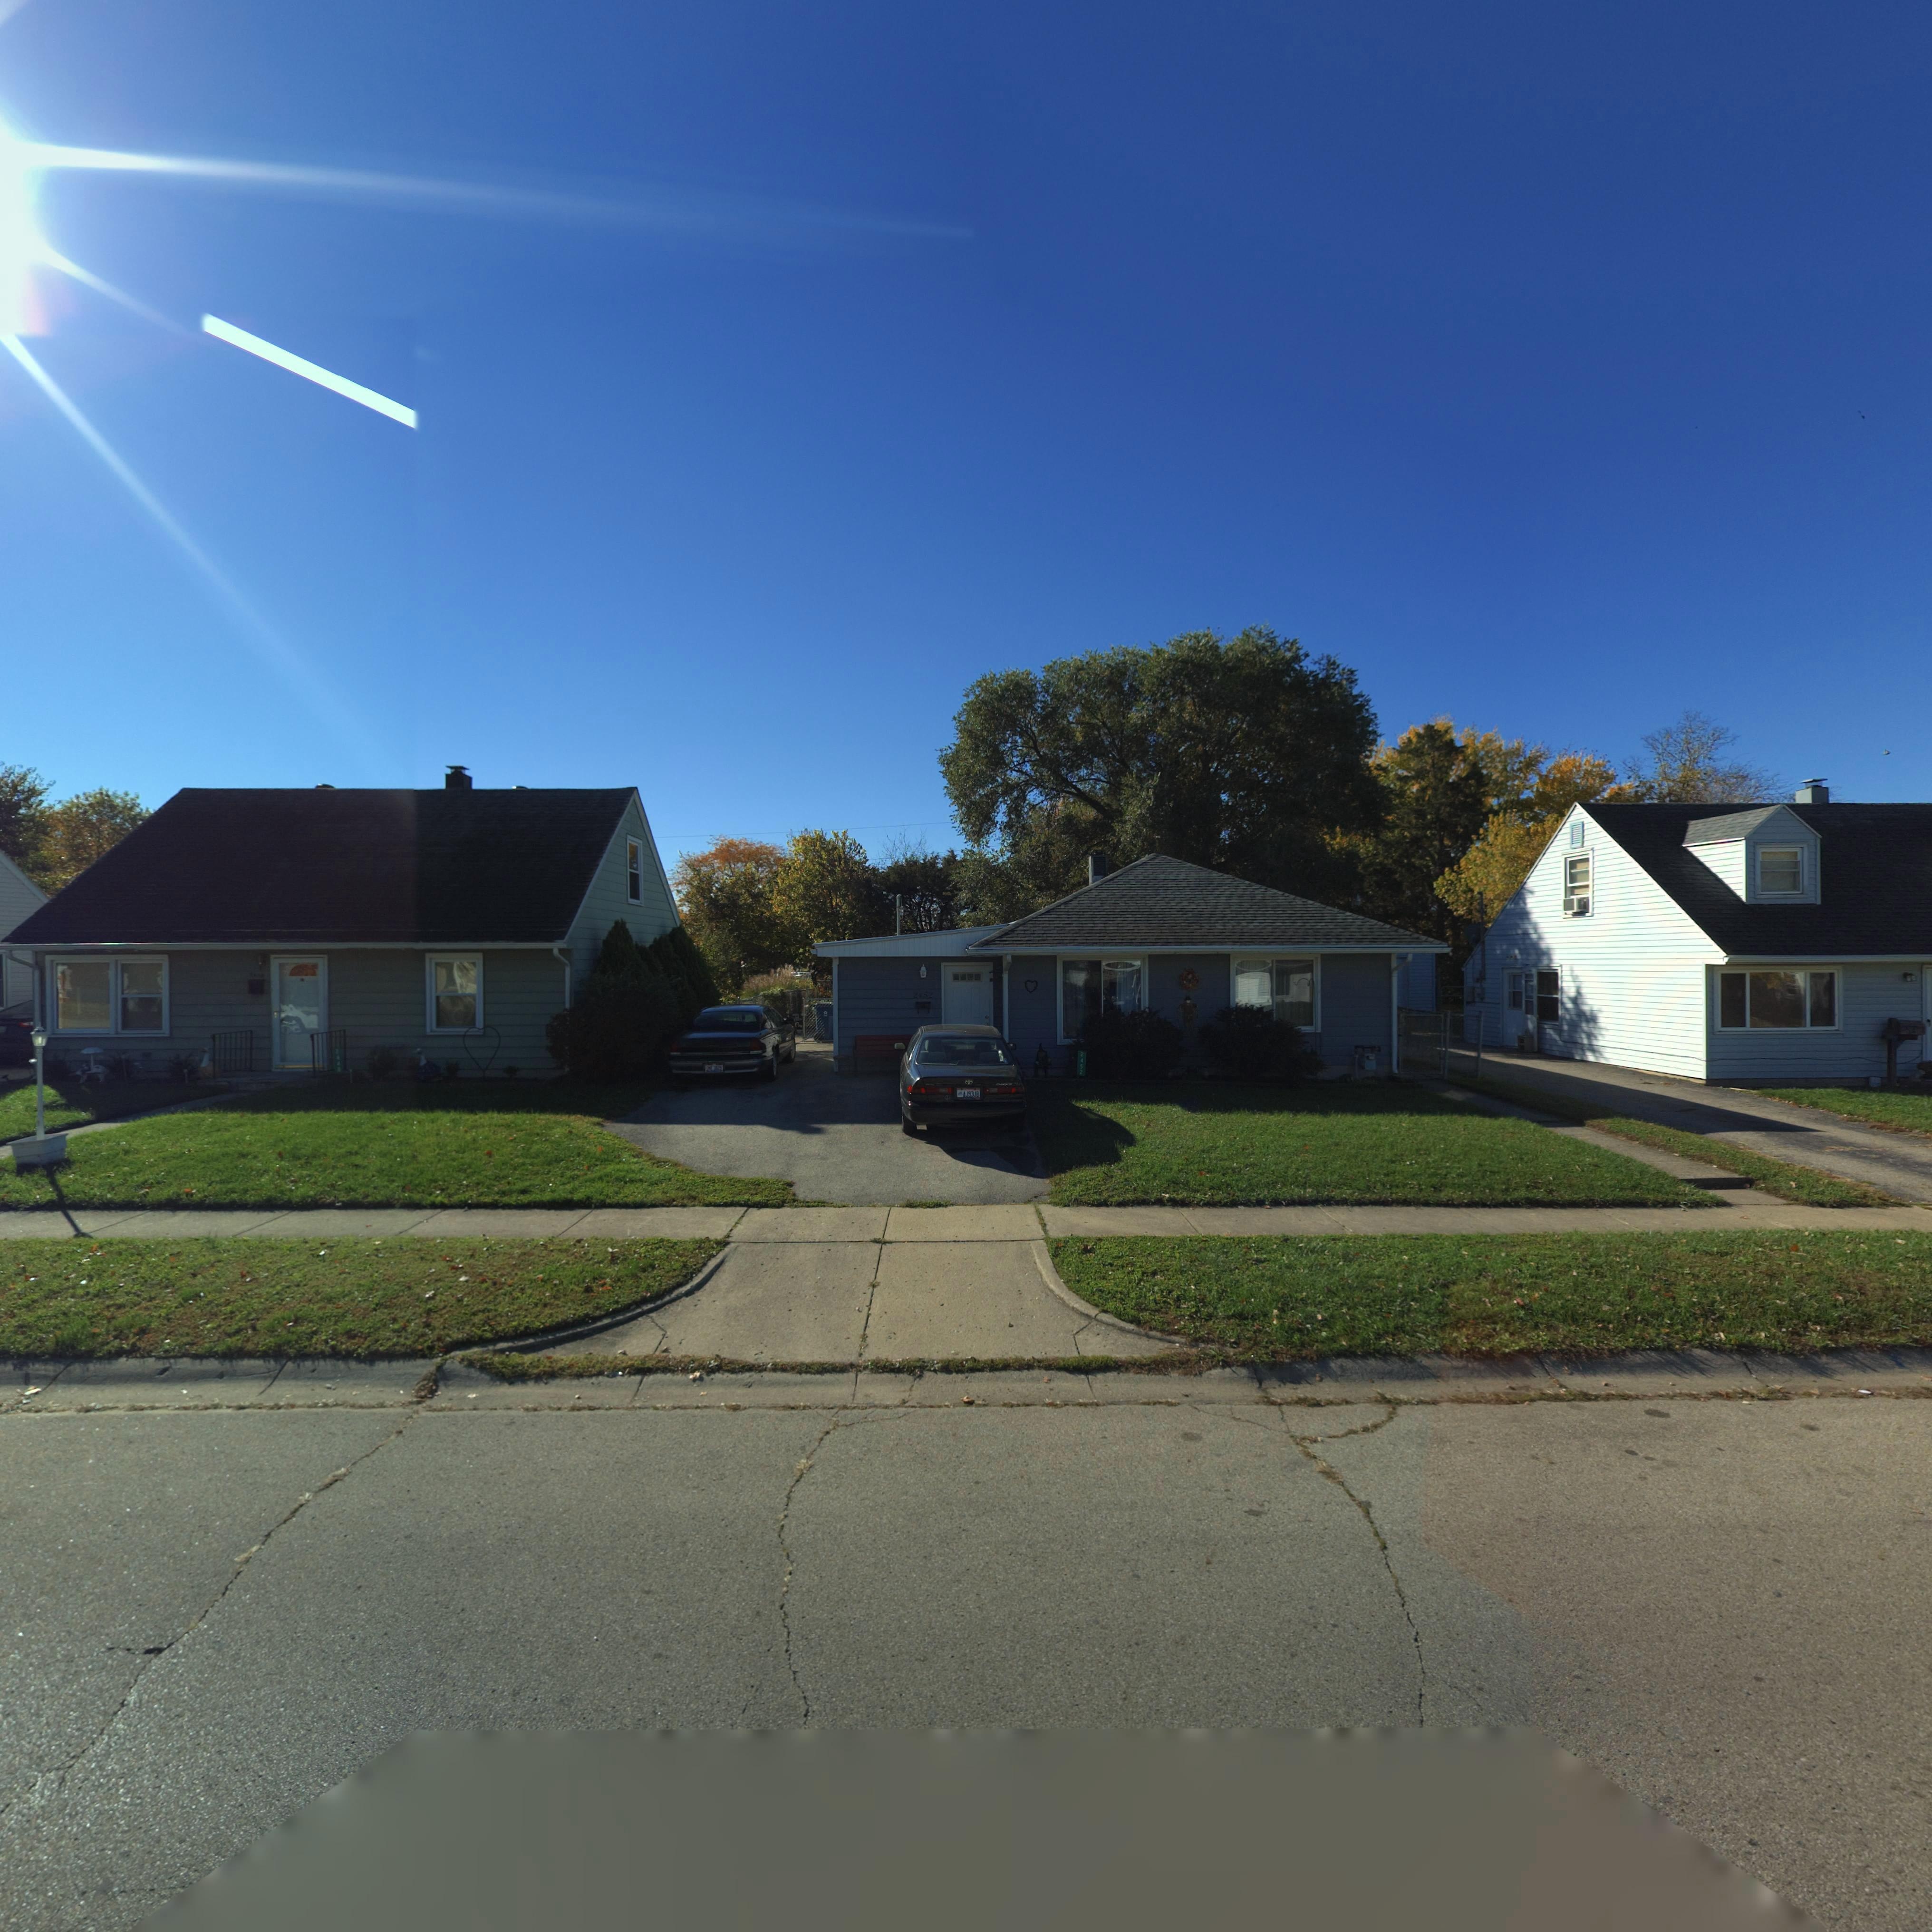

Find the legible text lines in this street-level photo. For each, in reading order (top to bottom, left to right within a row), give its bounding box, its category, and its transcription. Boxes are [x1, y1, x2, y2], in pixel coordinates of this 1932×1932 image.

[913, 991, 933, 998] StreetNumber: 2452
[334, 1048, 342, 1073] StreetNumber: 244*
[1079, 1051, 1084, 1075] StreetNumber: 2452